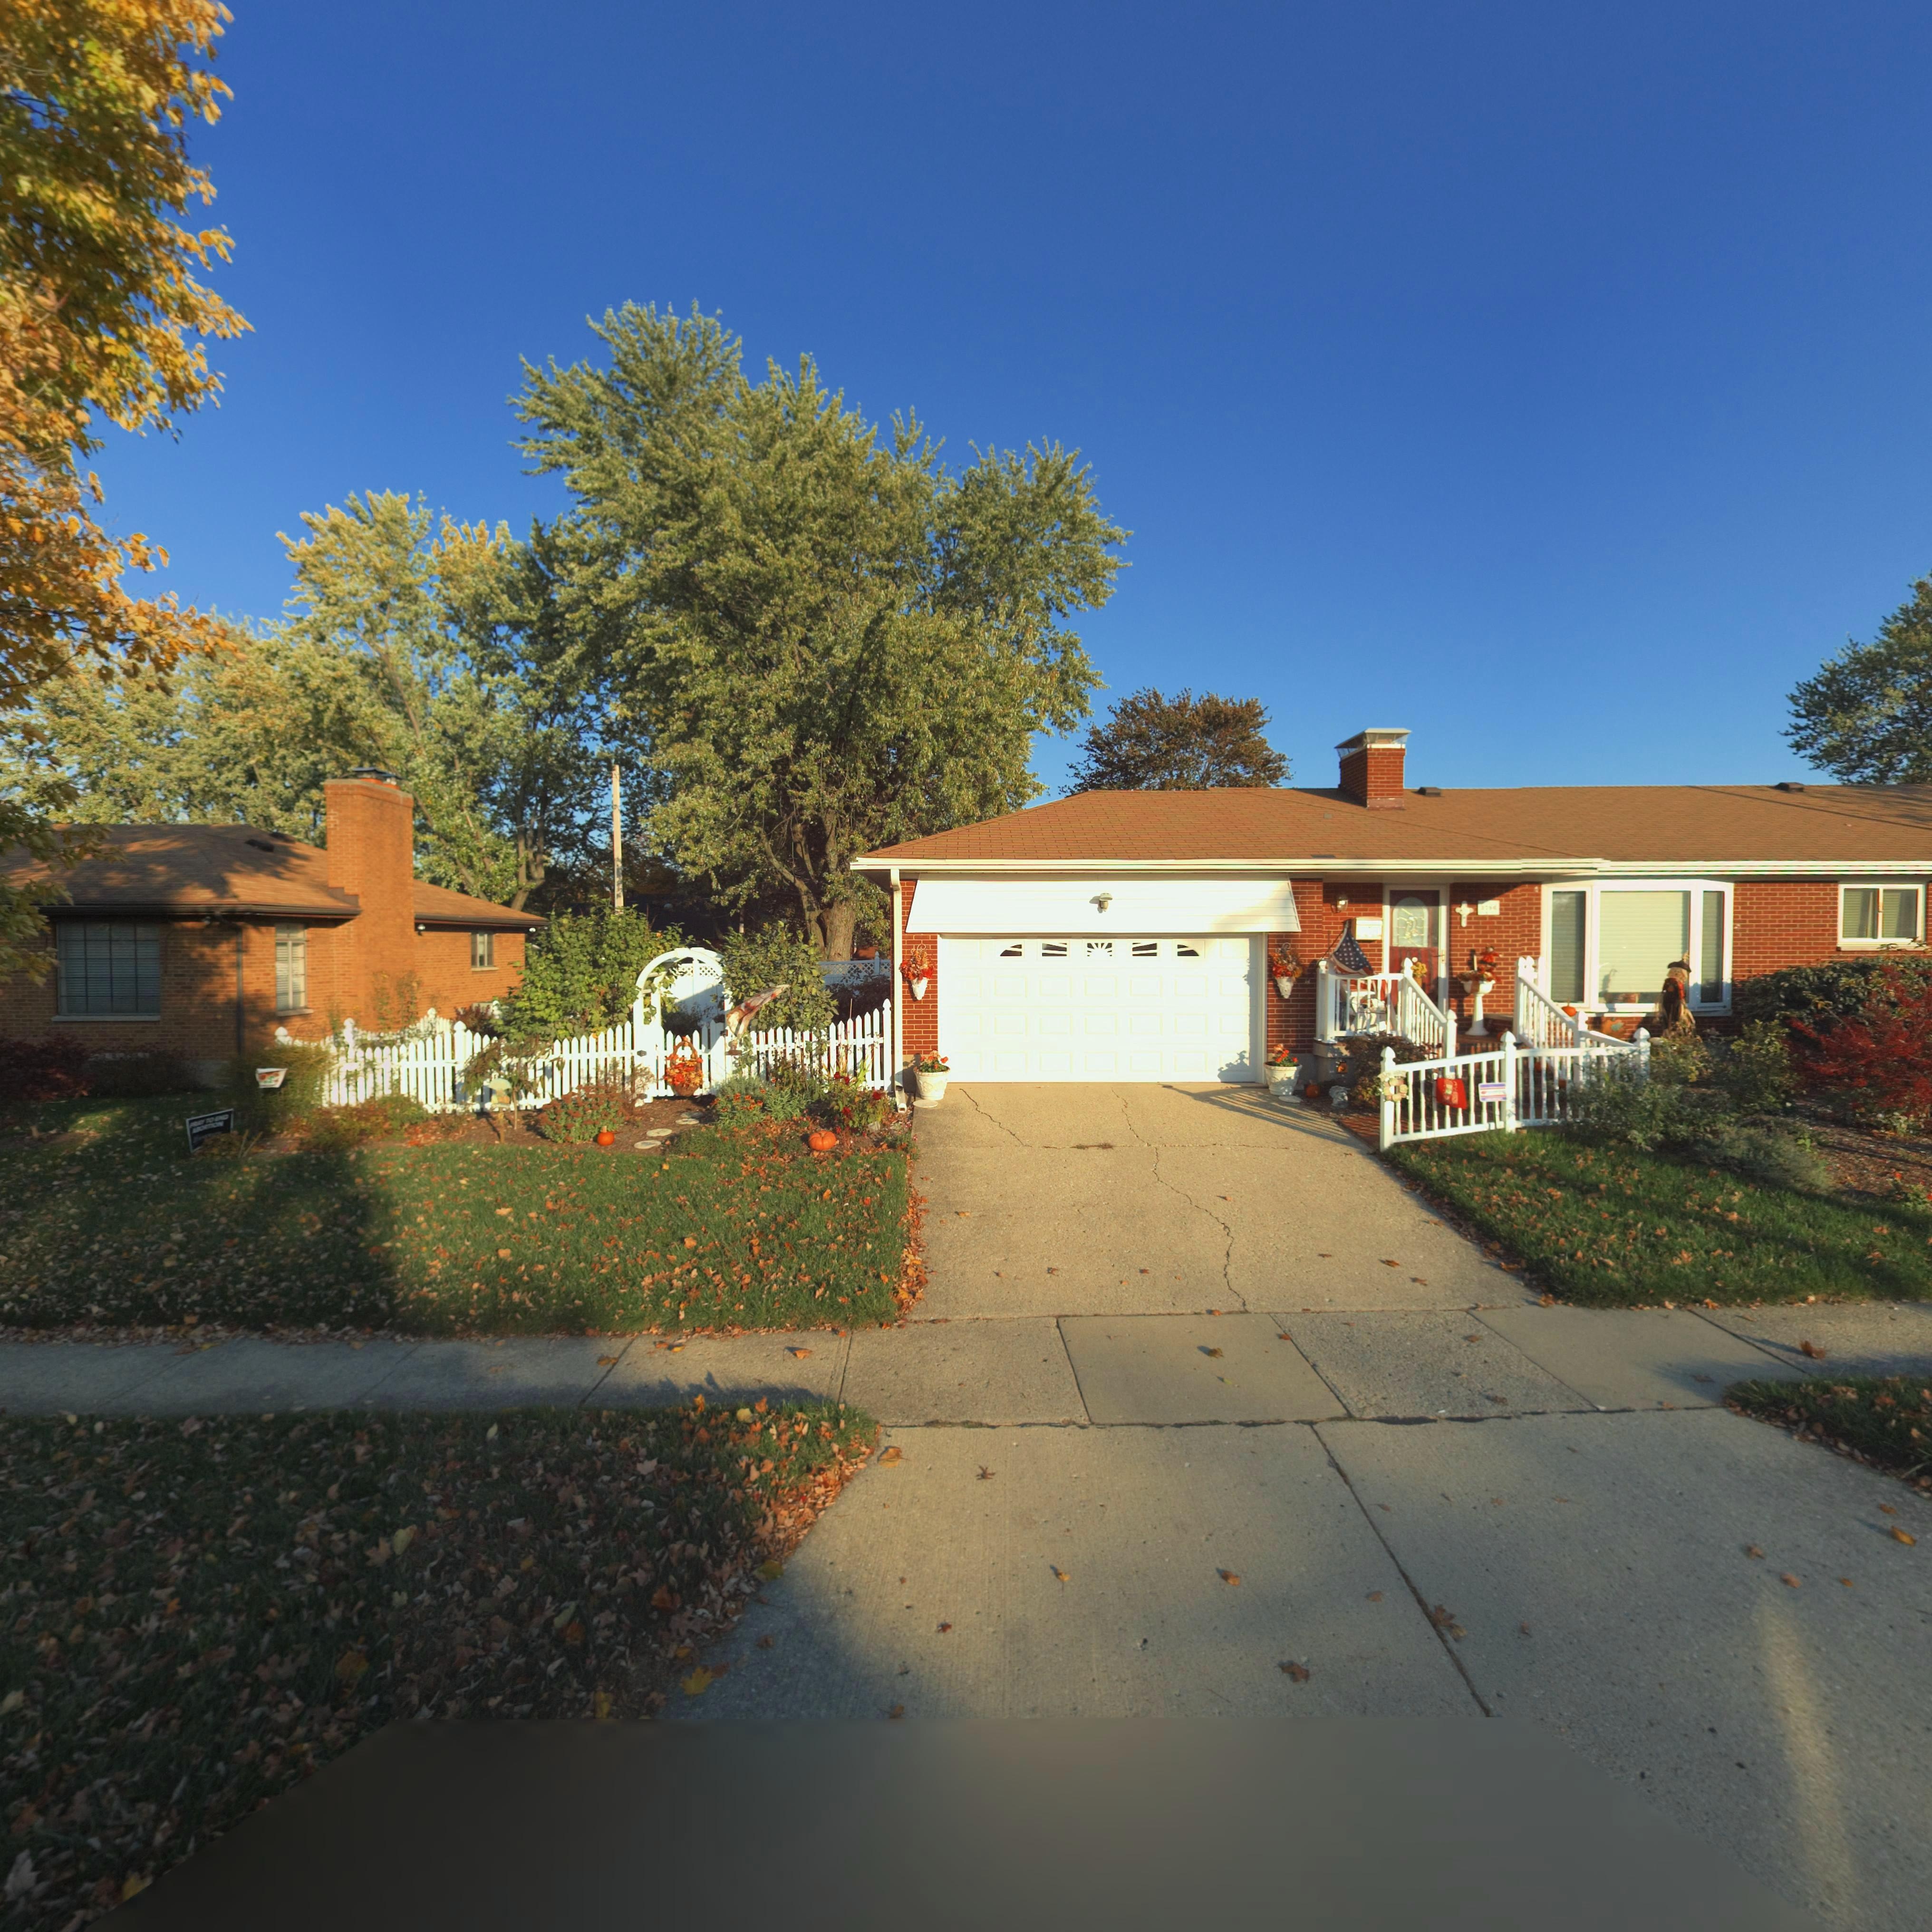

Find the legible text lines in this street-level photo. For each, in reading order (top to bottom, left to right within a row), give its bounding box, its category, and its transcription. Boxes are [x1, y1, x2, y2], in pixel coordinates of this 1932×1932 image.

[1479, 905, 1497, 911] StreetNumber: 3796